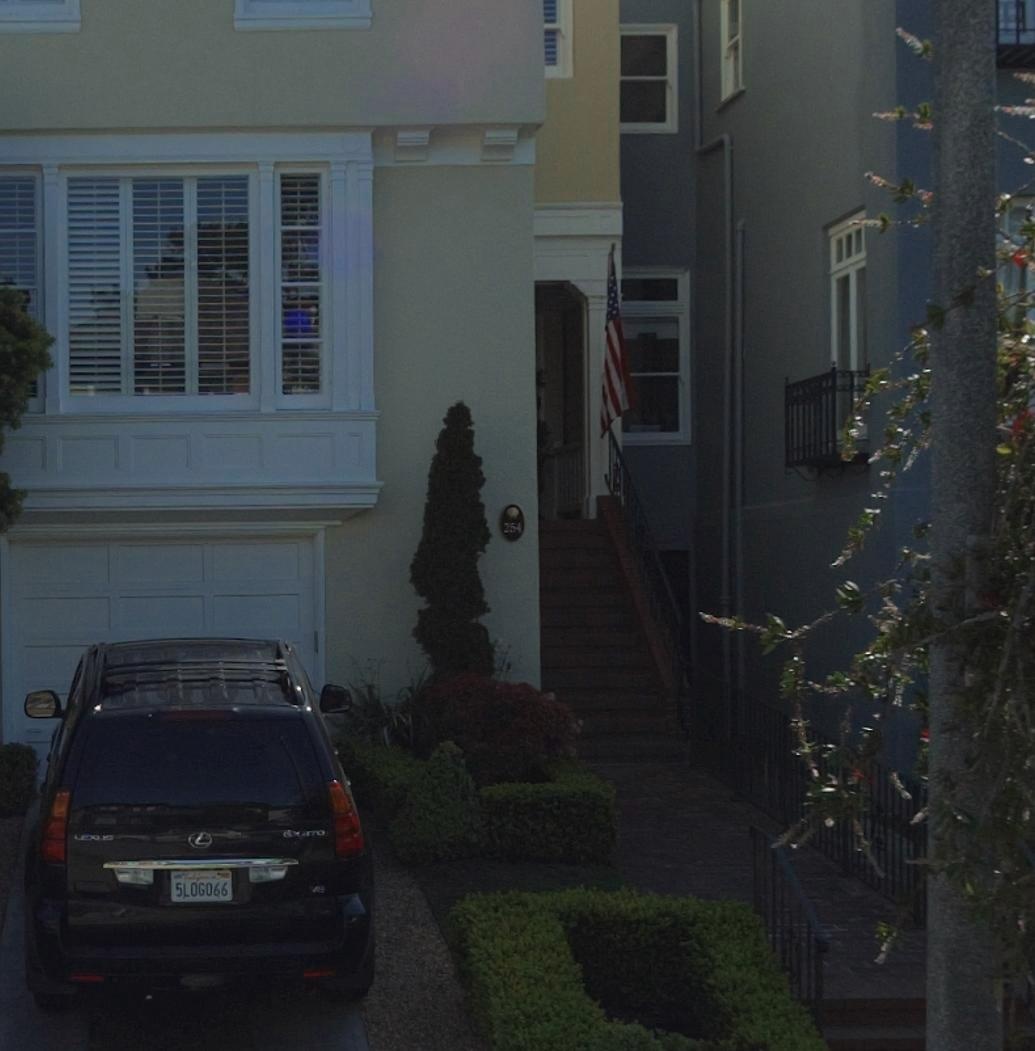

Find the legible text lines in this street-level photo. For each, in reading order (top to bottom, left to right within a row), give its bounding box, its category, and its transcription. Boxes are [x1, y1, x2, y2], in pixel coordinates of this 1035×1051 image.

[502, 520, 523, 535] StreetNumber: 254
[73, 831, 115, 842] BusinessName: LEXUS
[281, 828, 328, 839] None: GX 470
[173, 879, 228, 897] None: 5L0G066